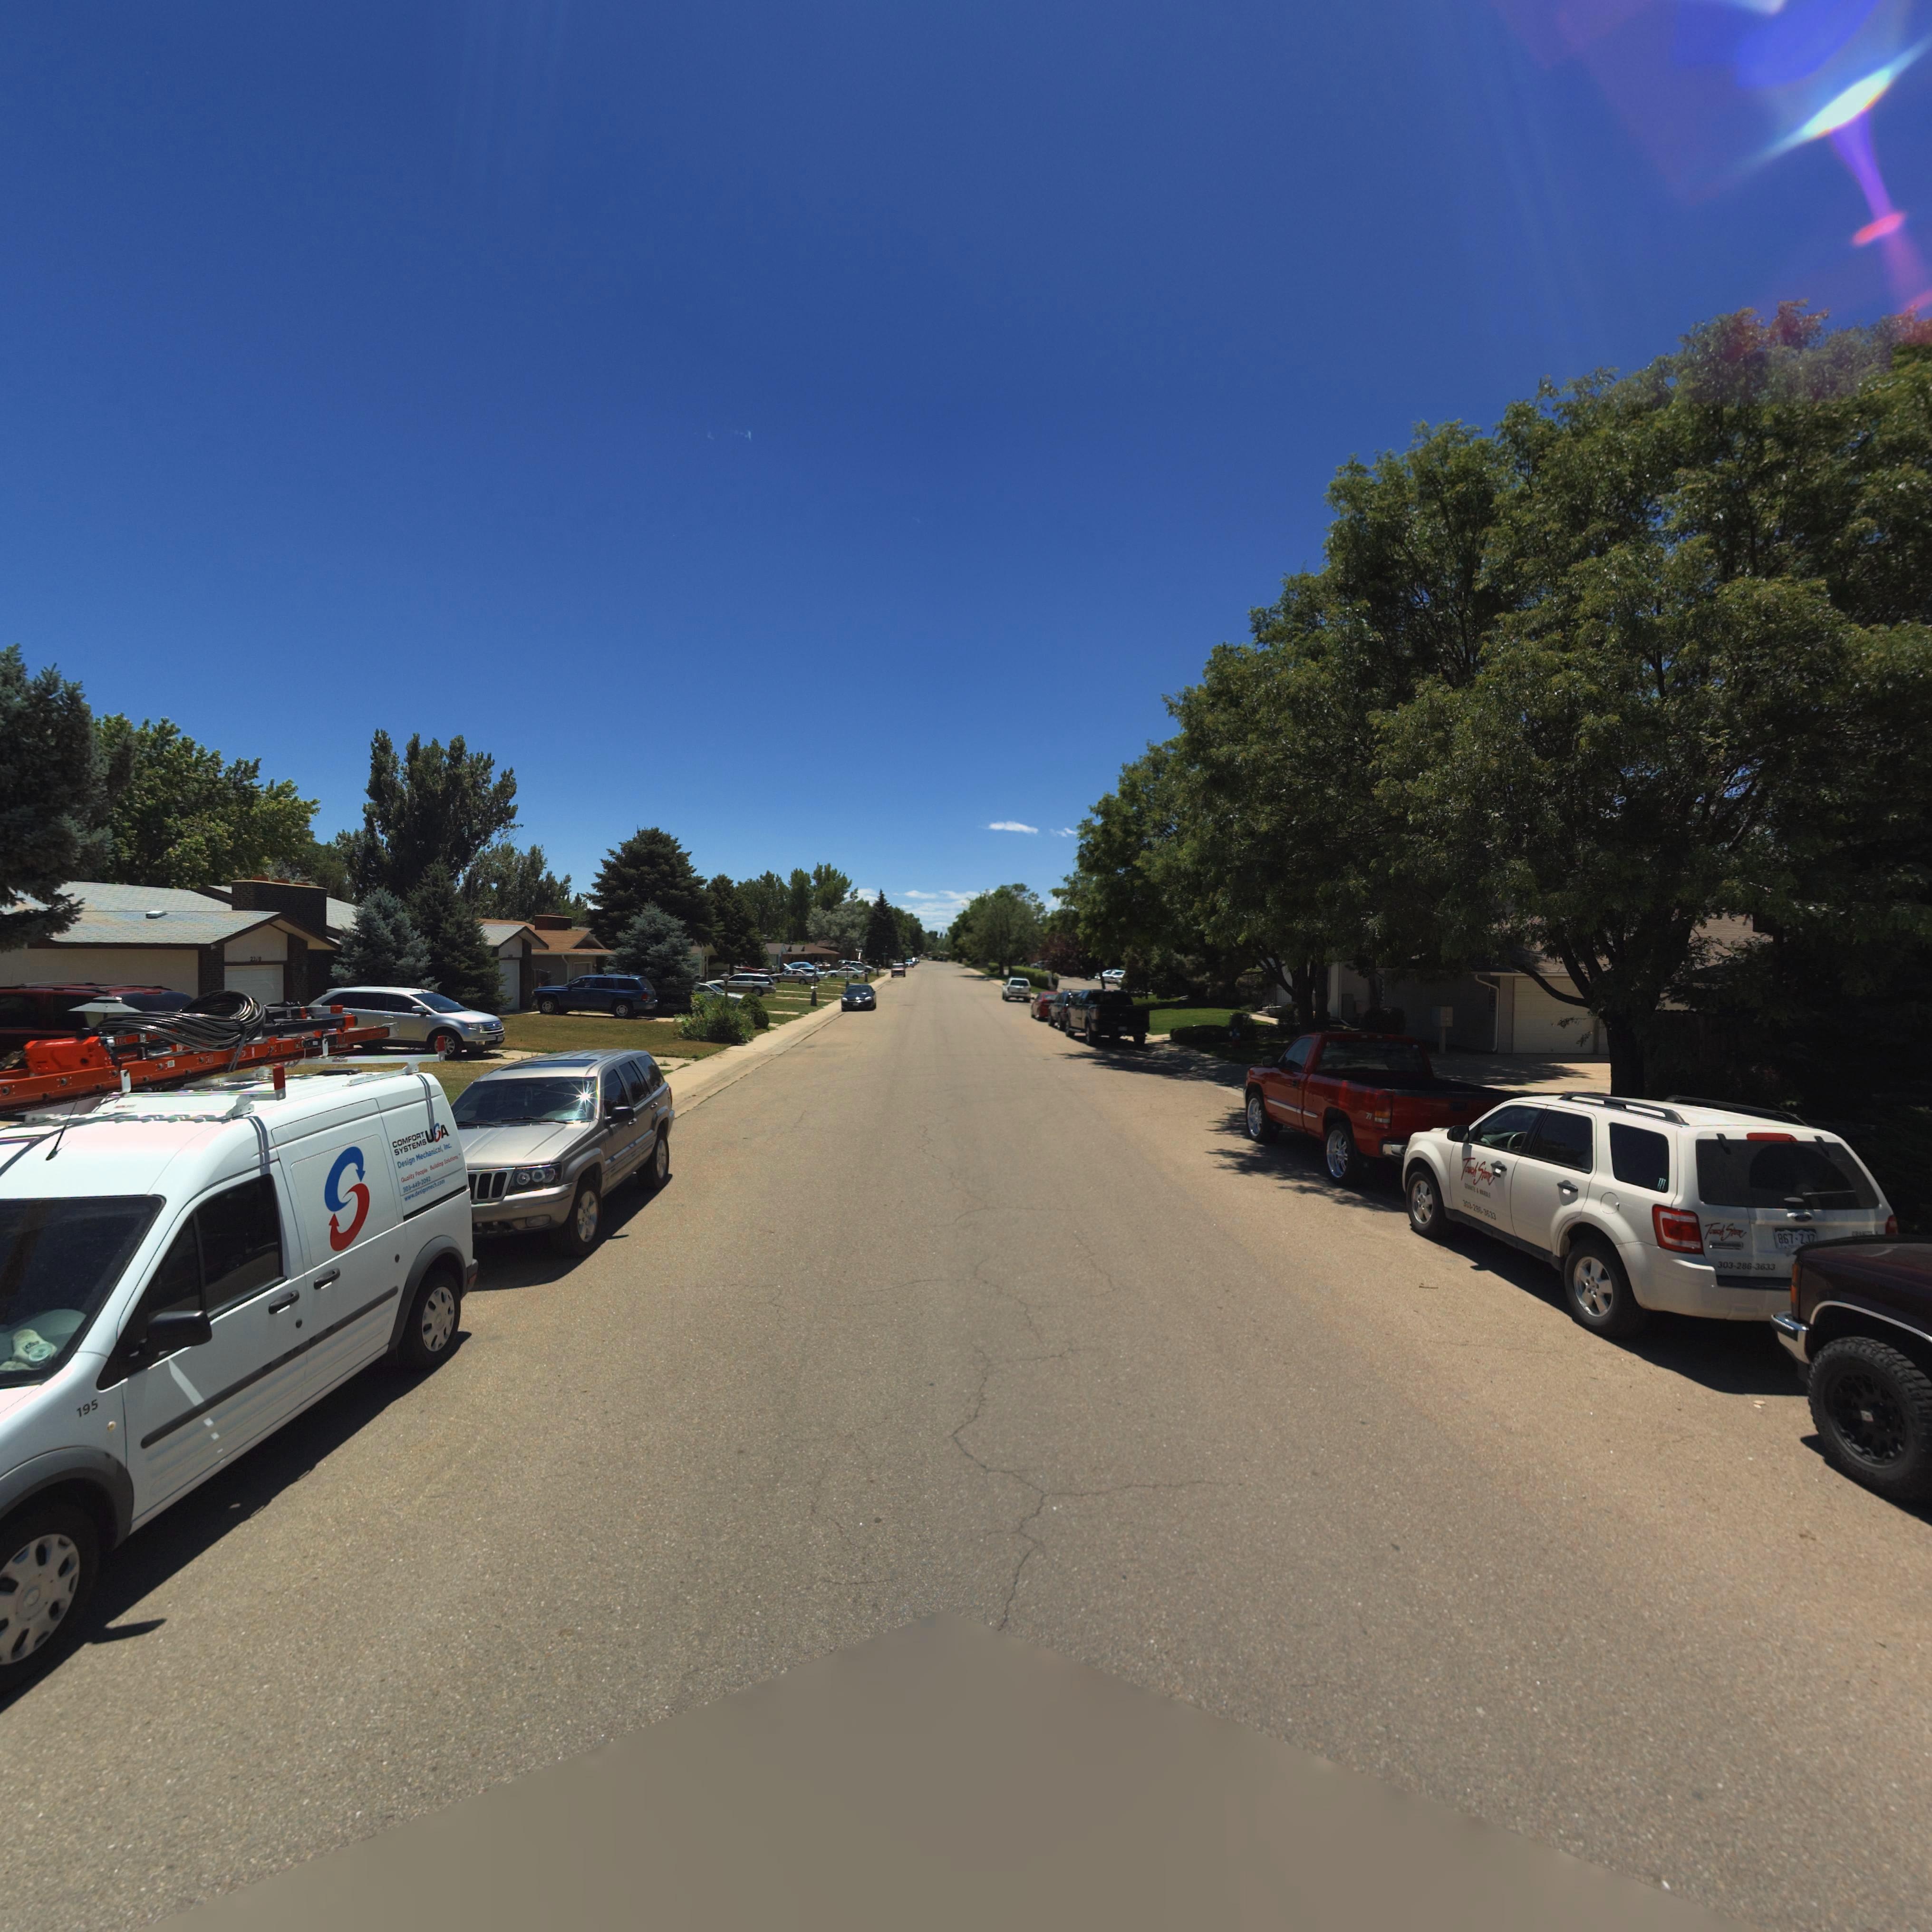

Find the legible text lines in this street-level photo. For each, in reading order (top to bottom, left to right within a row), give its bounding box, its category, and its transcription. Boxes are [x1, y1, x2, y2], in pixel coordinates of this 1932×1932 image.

[250, 956, 262, 962] StreetNumber: 2210